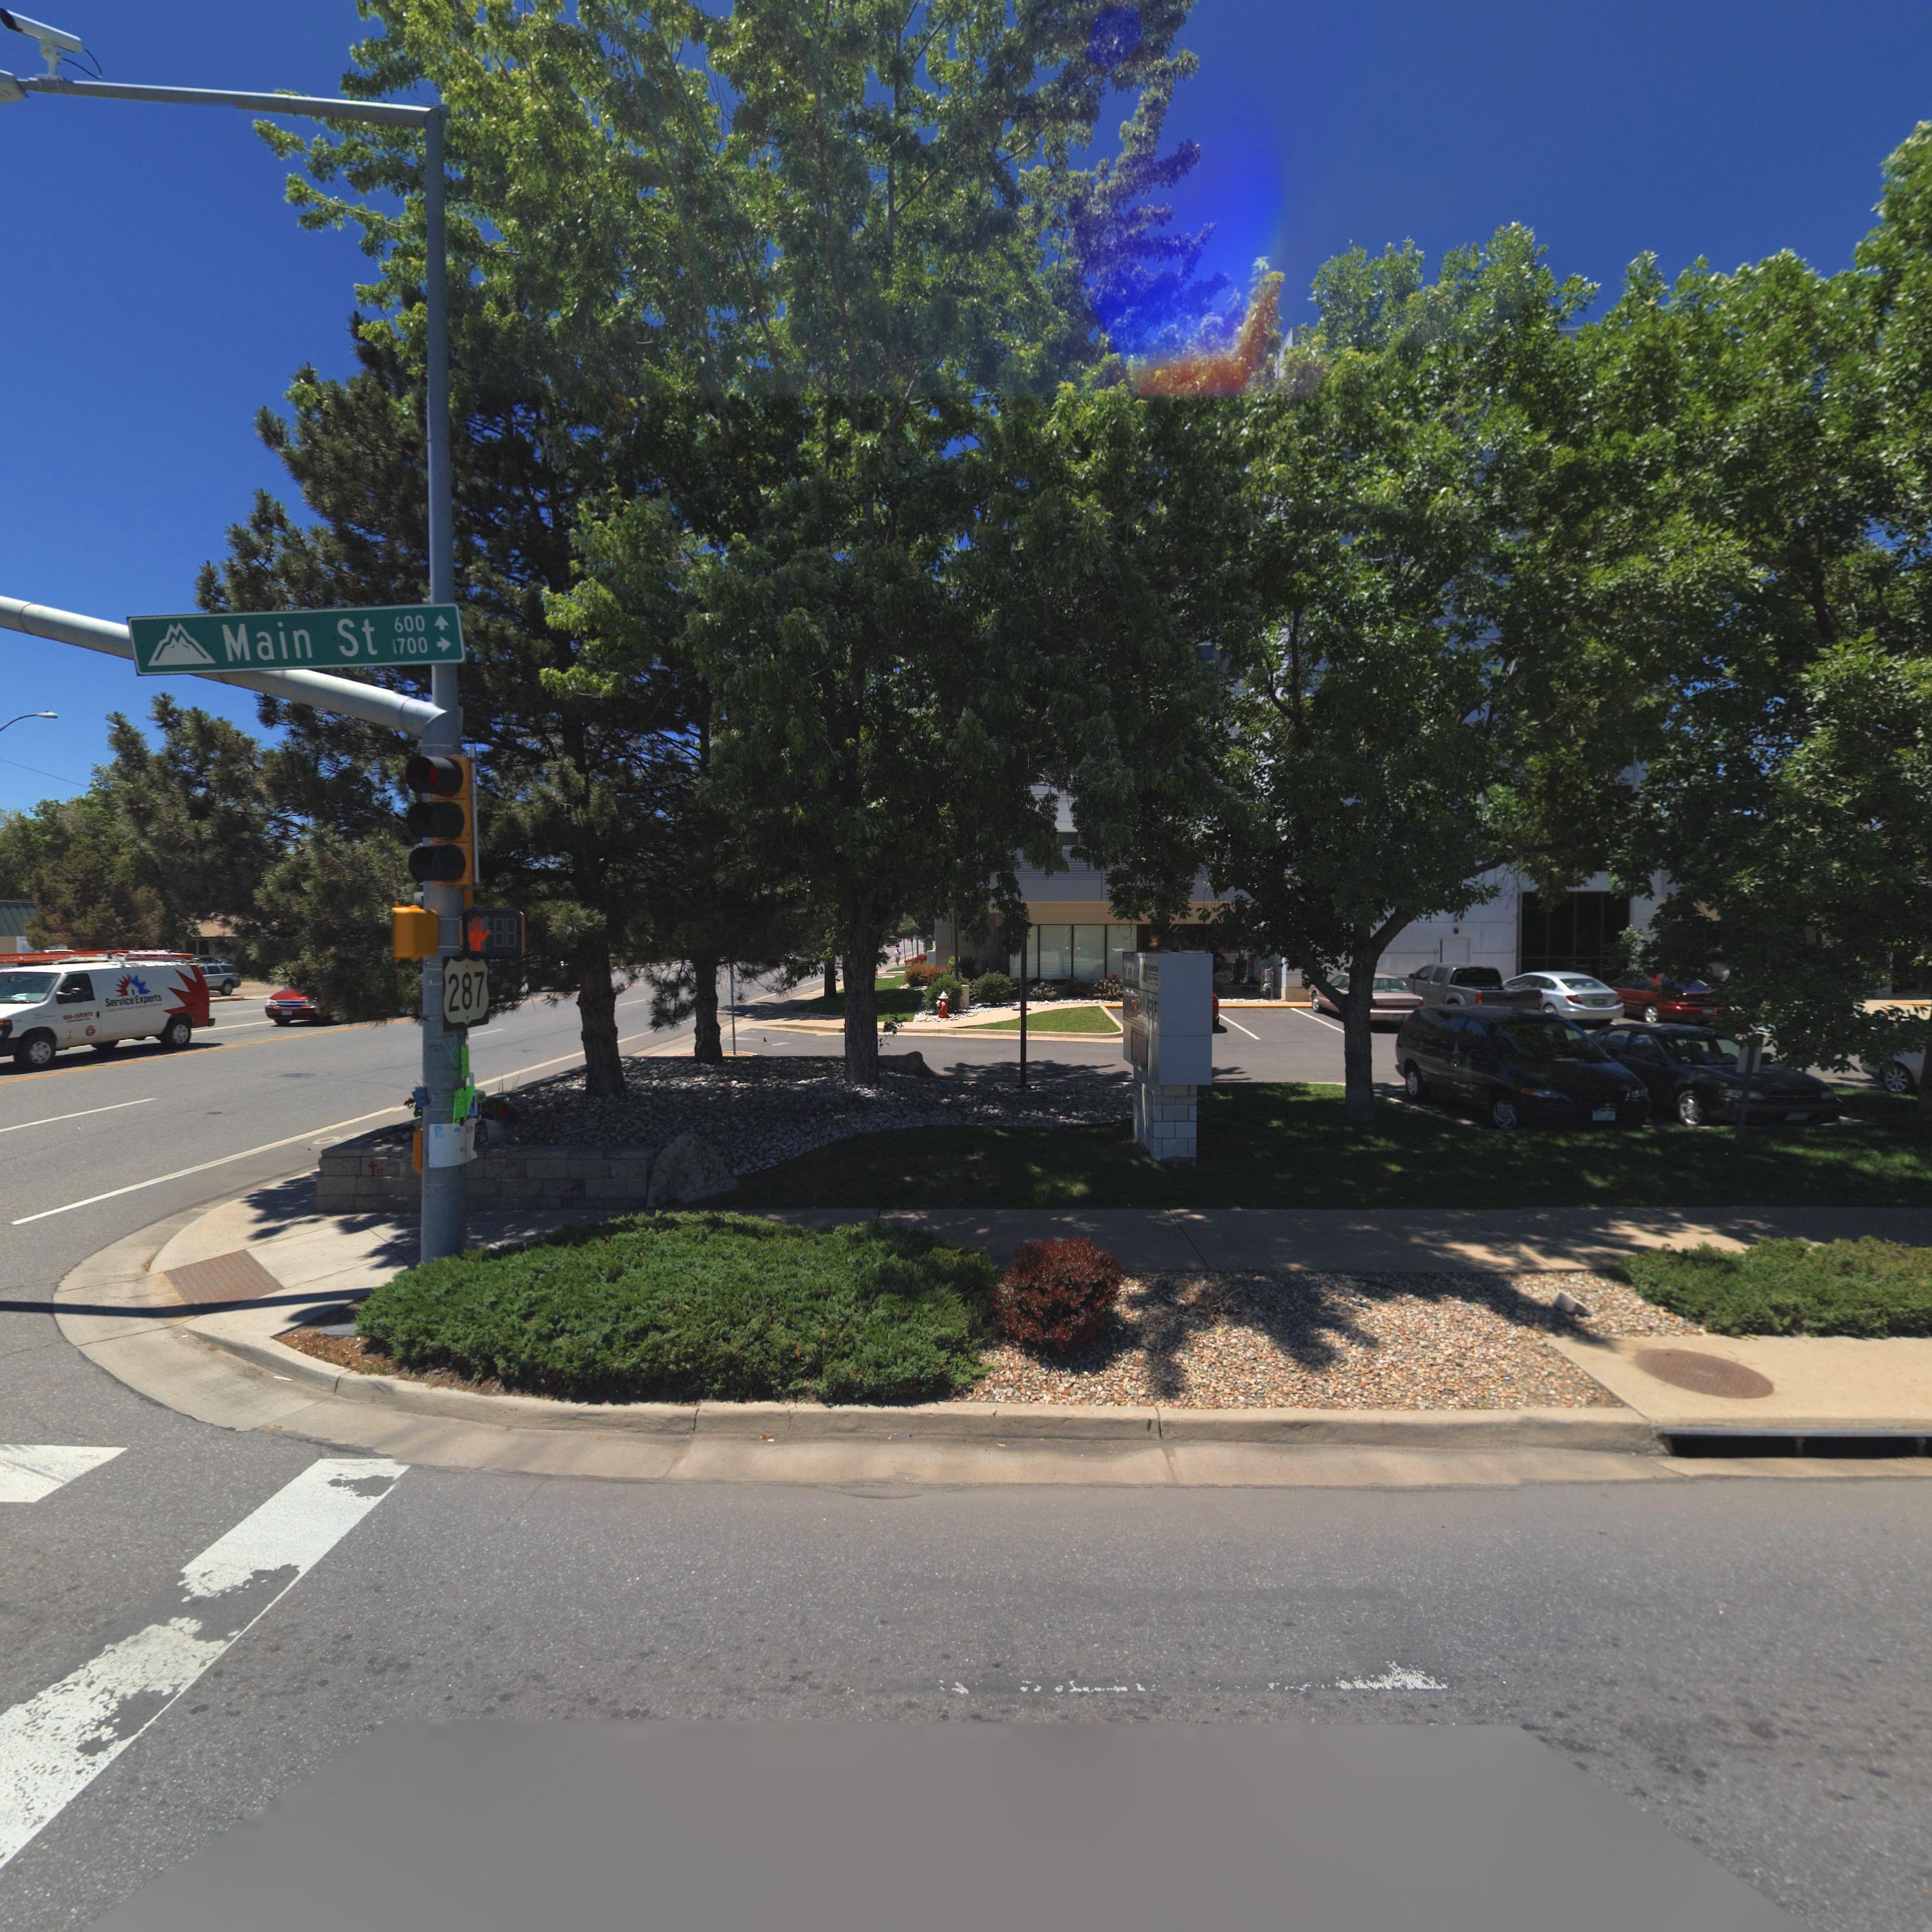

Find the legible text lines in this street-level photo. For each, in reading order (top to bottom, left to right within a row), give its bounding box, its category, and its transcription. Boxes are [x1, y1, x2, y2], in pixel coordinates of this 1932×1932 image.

[394, 614, 425, 634] BusinessName: 600
[220, 616, 378, 662] StreetName: Main St
[391, 634, 453, 656] StreetNumberRange: 1700 ->
[1140, 962, 1148, 983] BusinessName: 1031
[1147, 963, 1158, 972] BusinessName: C**p